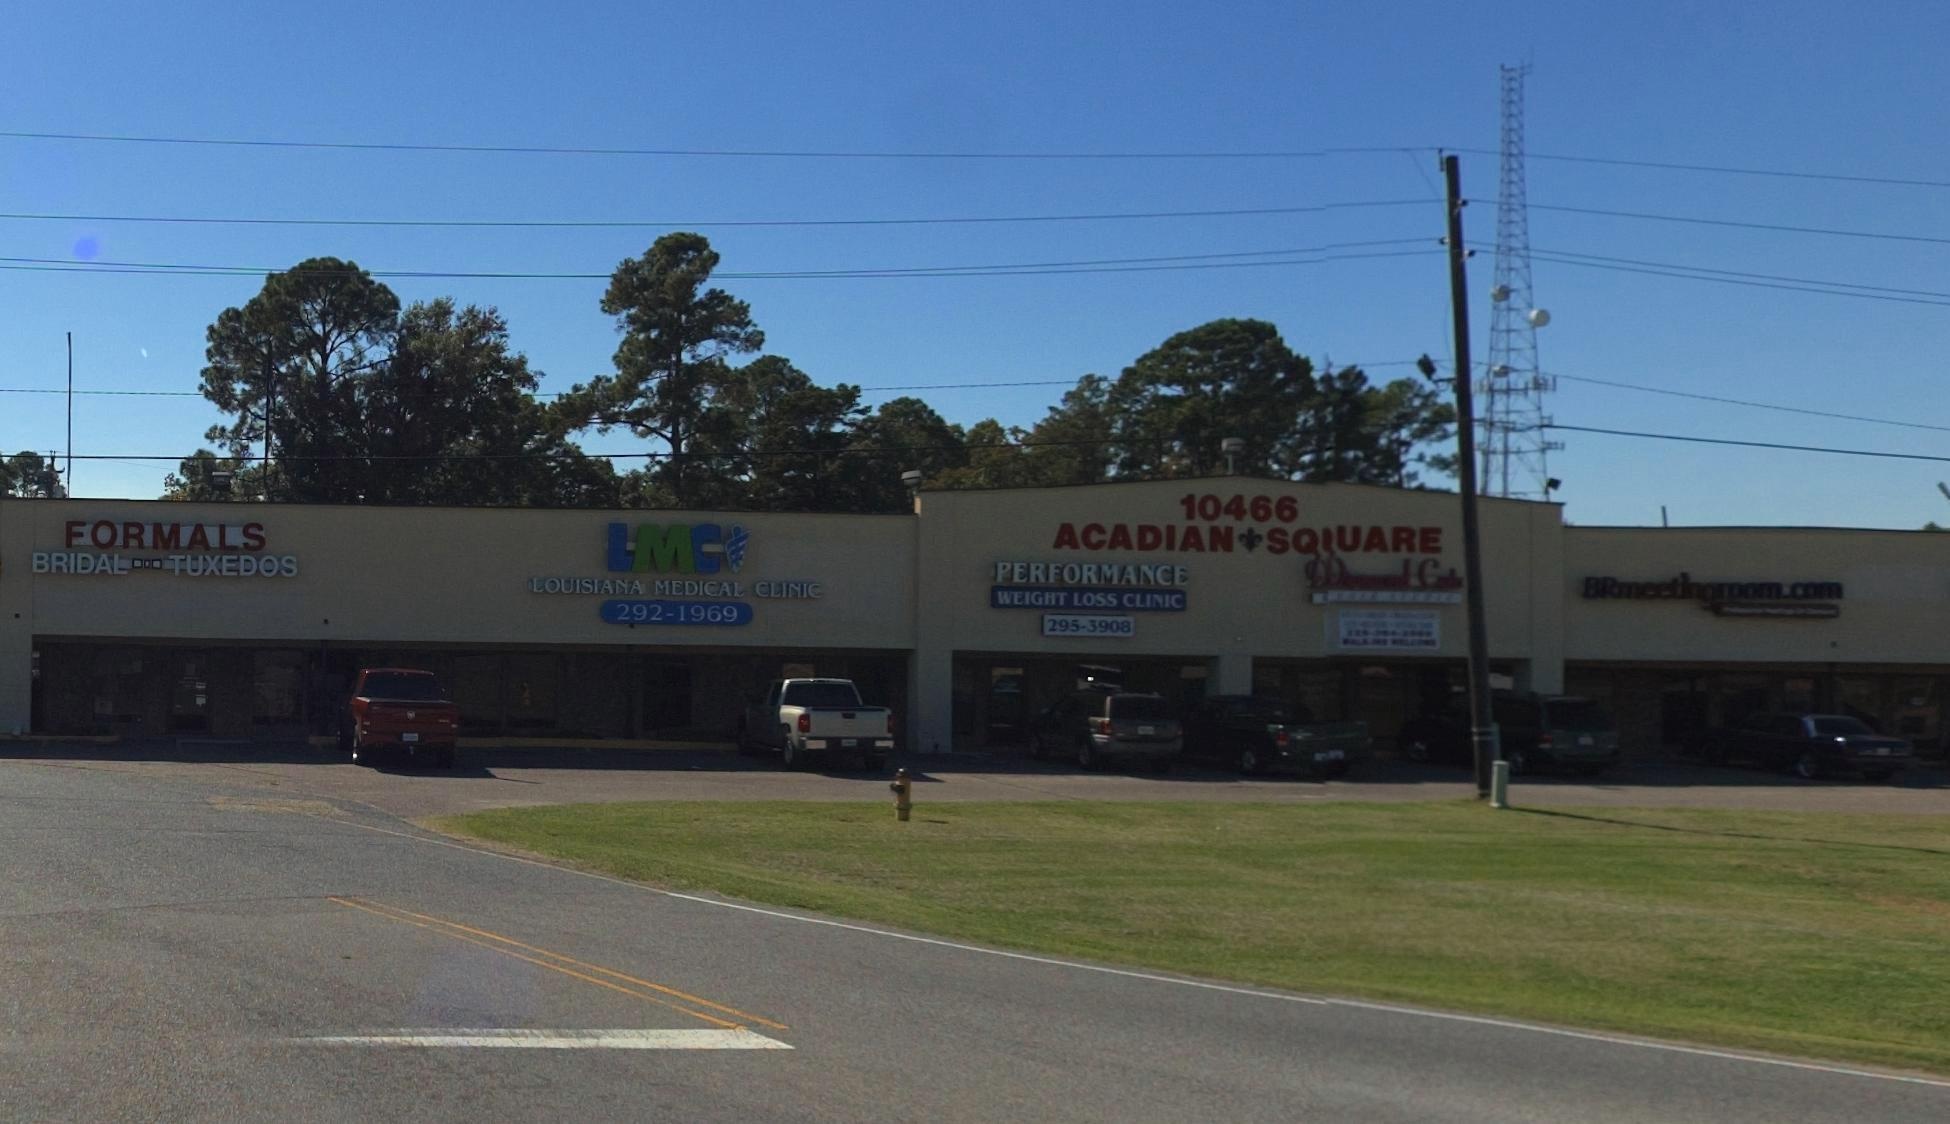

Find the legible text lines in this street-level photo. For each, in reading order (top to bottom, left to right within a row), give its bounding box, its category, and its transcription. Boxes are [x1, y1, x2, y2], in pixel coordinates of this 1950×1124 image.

[266, 409, 276, 430] None: E
[1176, 491, 1301, 525] StreetNumber: 10466
[61, 516, 269, 554] BusinessName: FORMALS
[605, 518, 723, 577] None: LMC
[1047, 519, 1446, 557] BusinessName: Acadian Square 
[30, 550, 299, 579] BusinessName: BRIDAL*TUXEDOS
[614, 600, 740, 625] None: 292-1969
[530, 575, 827, 601] BusinessName: LOUISIANAN MEDICAL CLINIC
[1044, 616, 1134, 636] None: 295-3908
[993, 588, 1186, 611] BusinessName: WEIGHT LOSS CLINIC
[994, 559, 1191, 588] BusinessName: PERFOMANCE
[1578, 568, 1848, 616] None: BRmeetingroom.com